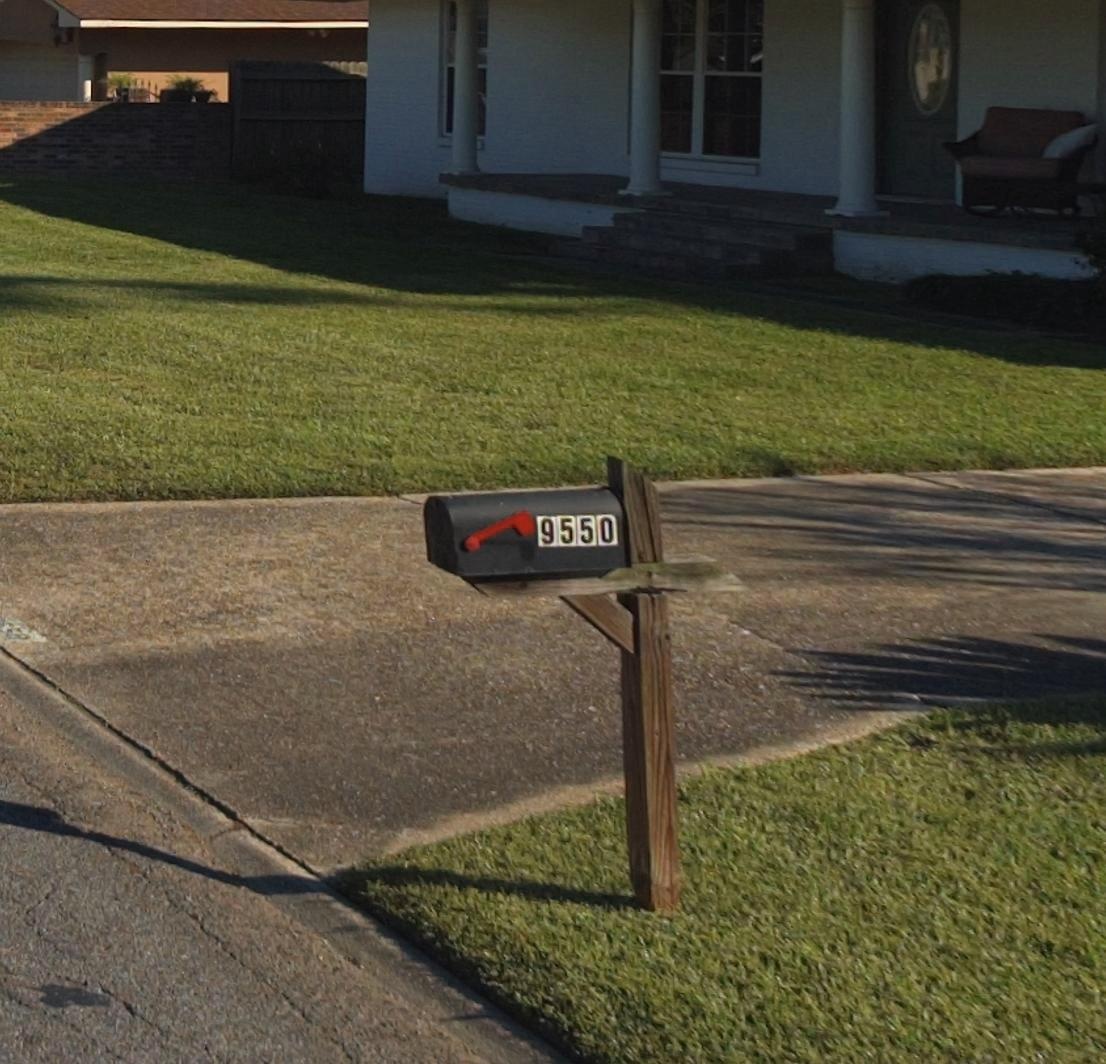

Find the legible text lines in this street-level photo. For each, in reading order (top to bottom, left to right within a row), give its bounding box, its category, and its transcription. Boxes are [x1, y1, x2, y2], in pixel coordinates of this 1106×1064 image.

[540, 516, 615, 546] StreetNumber: 9550